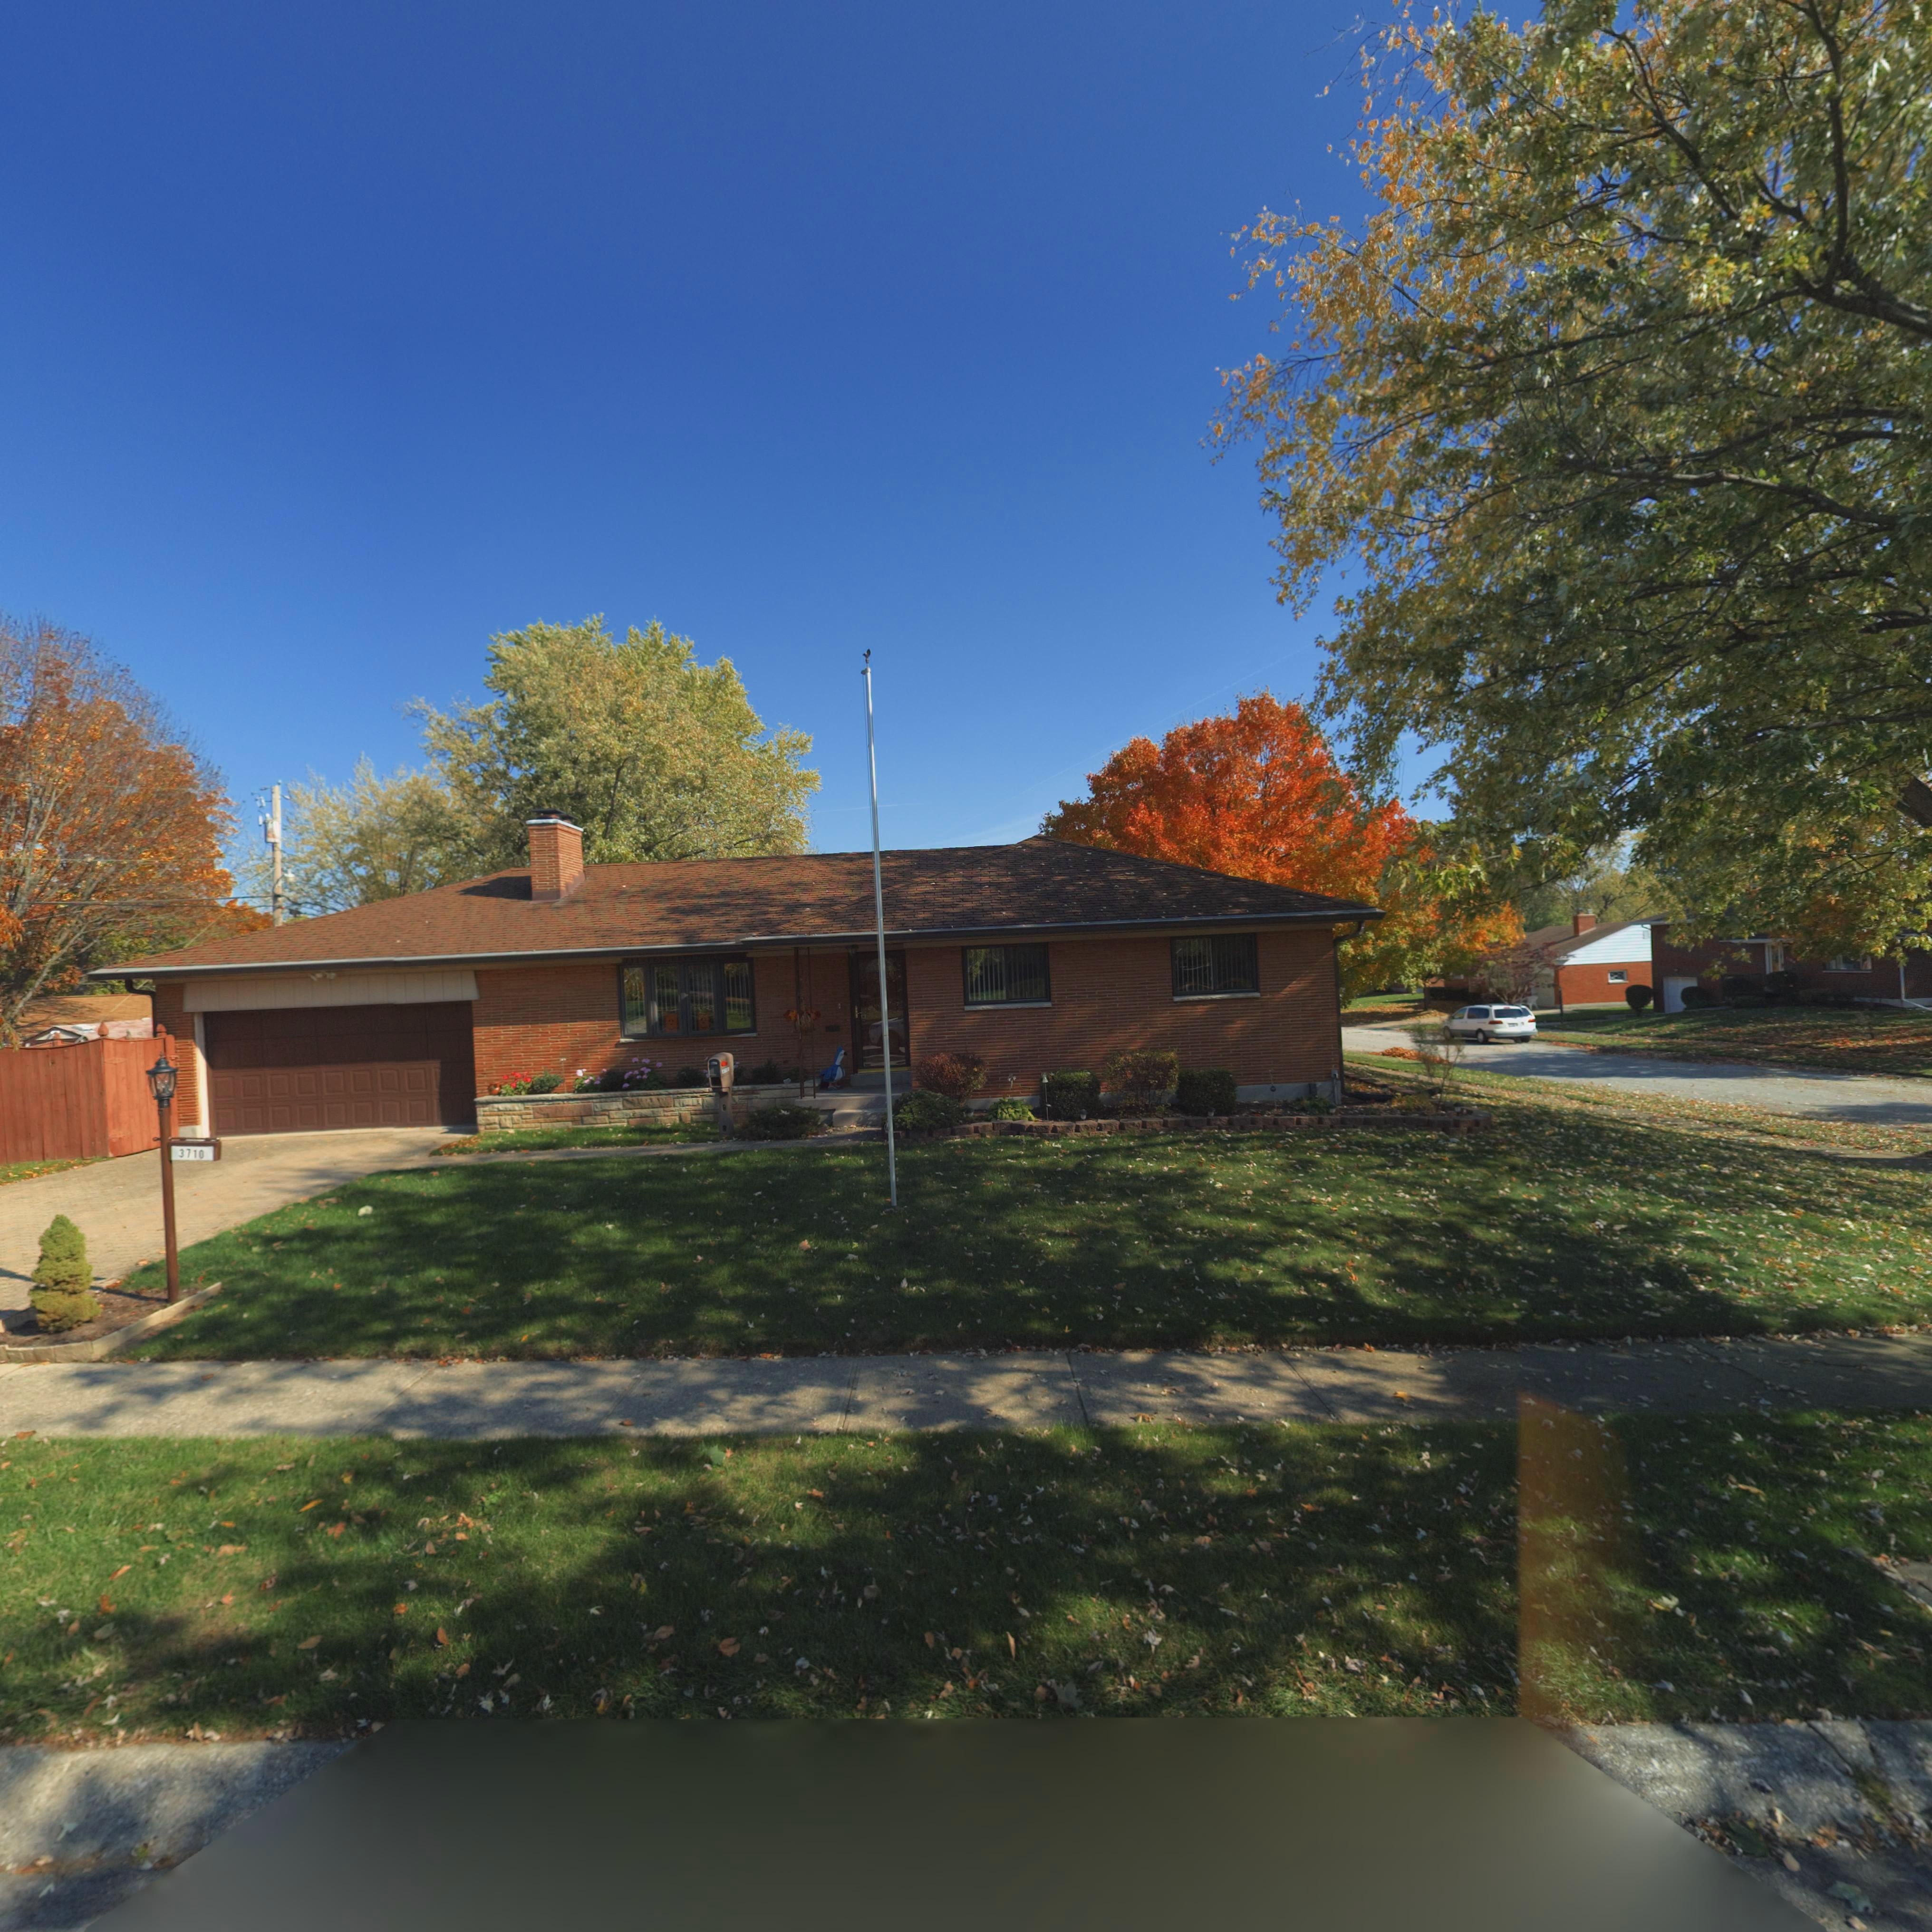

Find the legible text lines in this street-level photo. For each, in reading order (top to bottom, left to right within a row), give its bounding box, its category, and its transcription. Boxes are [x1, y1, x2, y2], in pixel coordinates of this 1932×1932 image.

[177, 1147, 205, 1160] StreetNumber: 3710